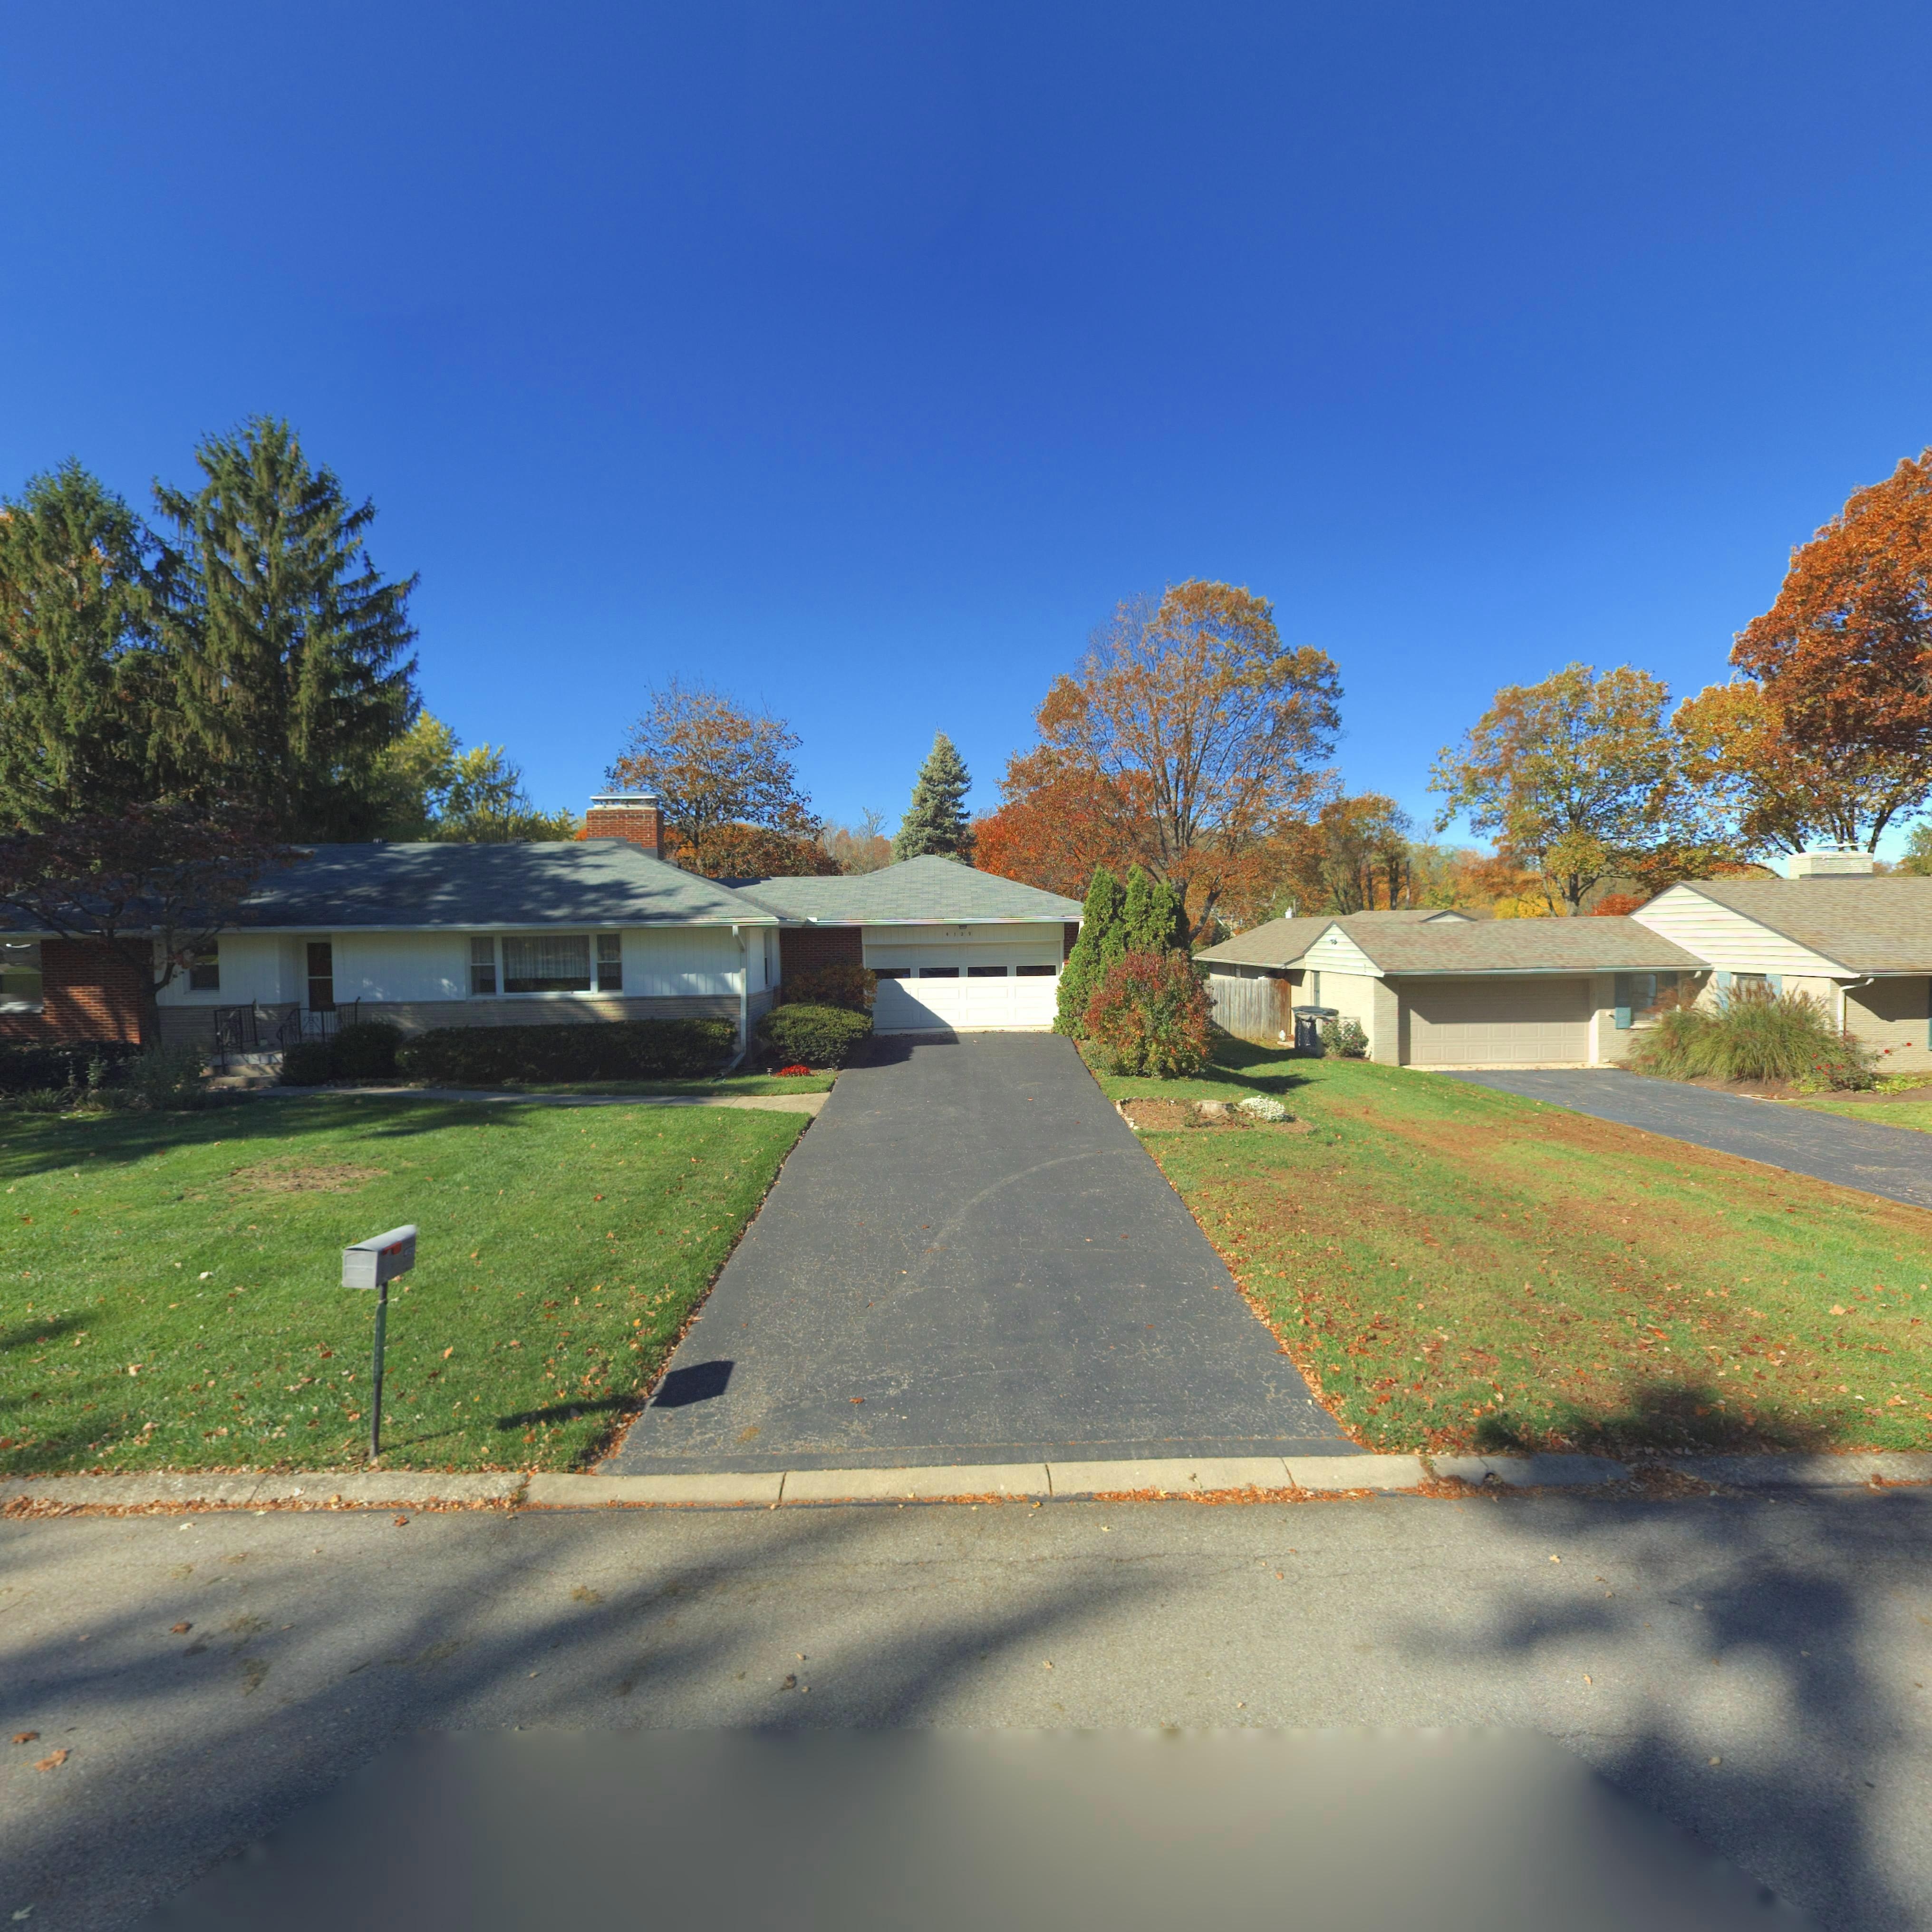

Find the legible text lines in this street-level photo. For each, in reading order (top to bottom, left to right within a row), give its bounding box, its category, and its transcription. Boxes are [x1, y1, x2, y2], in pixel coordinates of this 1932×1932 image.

[945, 930, 973, 937] StreetNumber: 4129